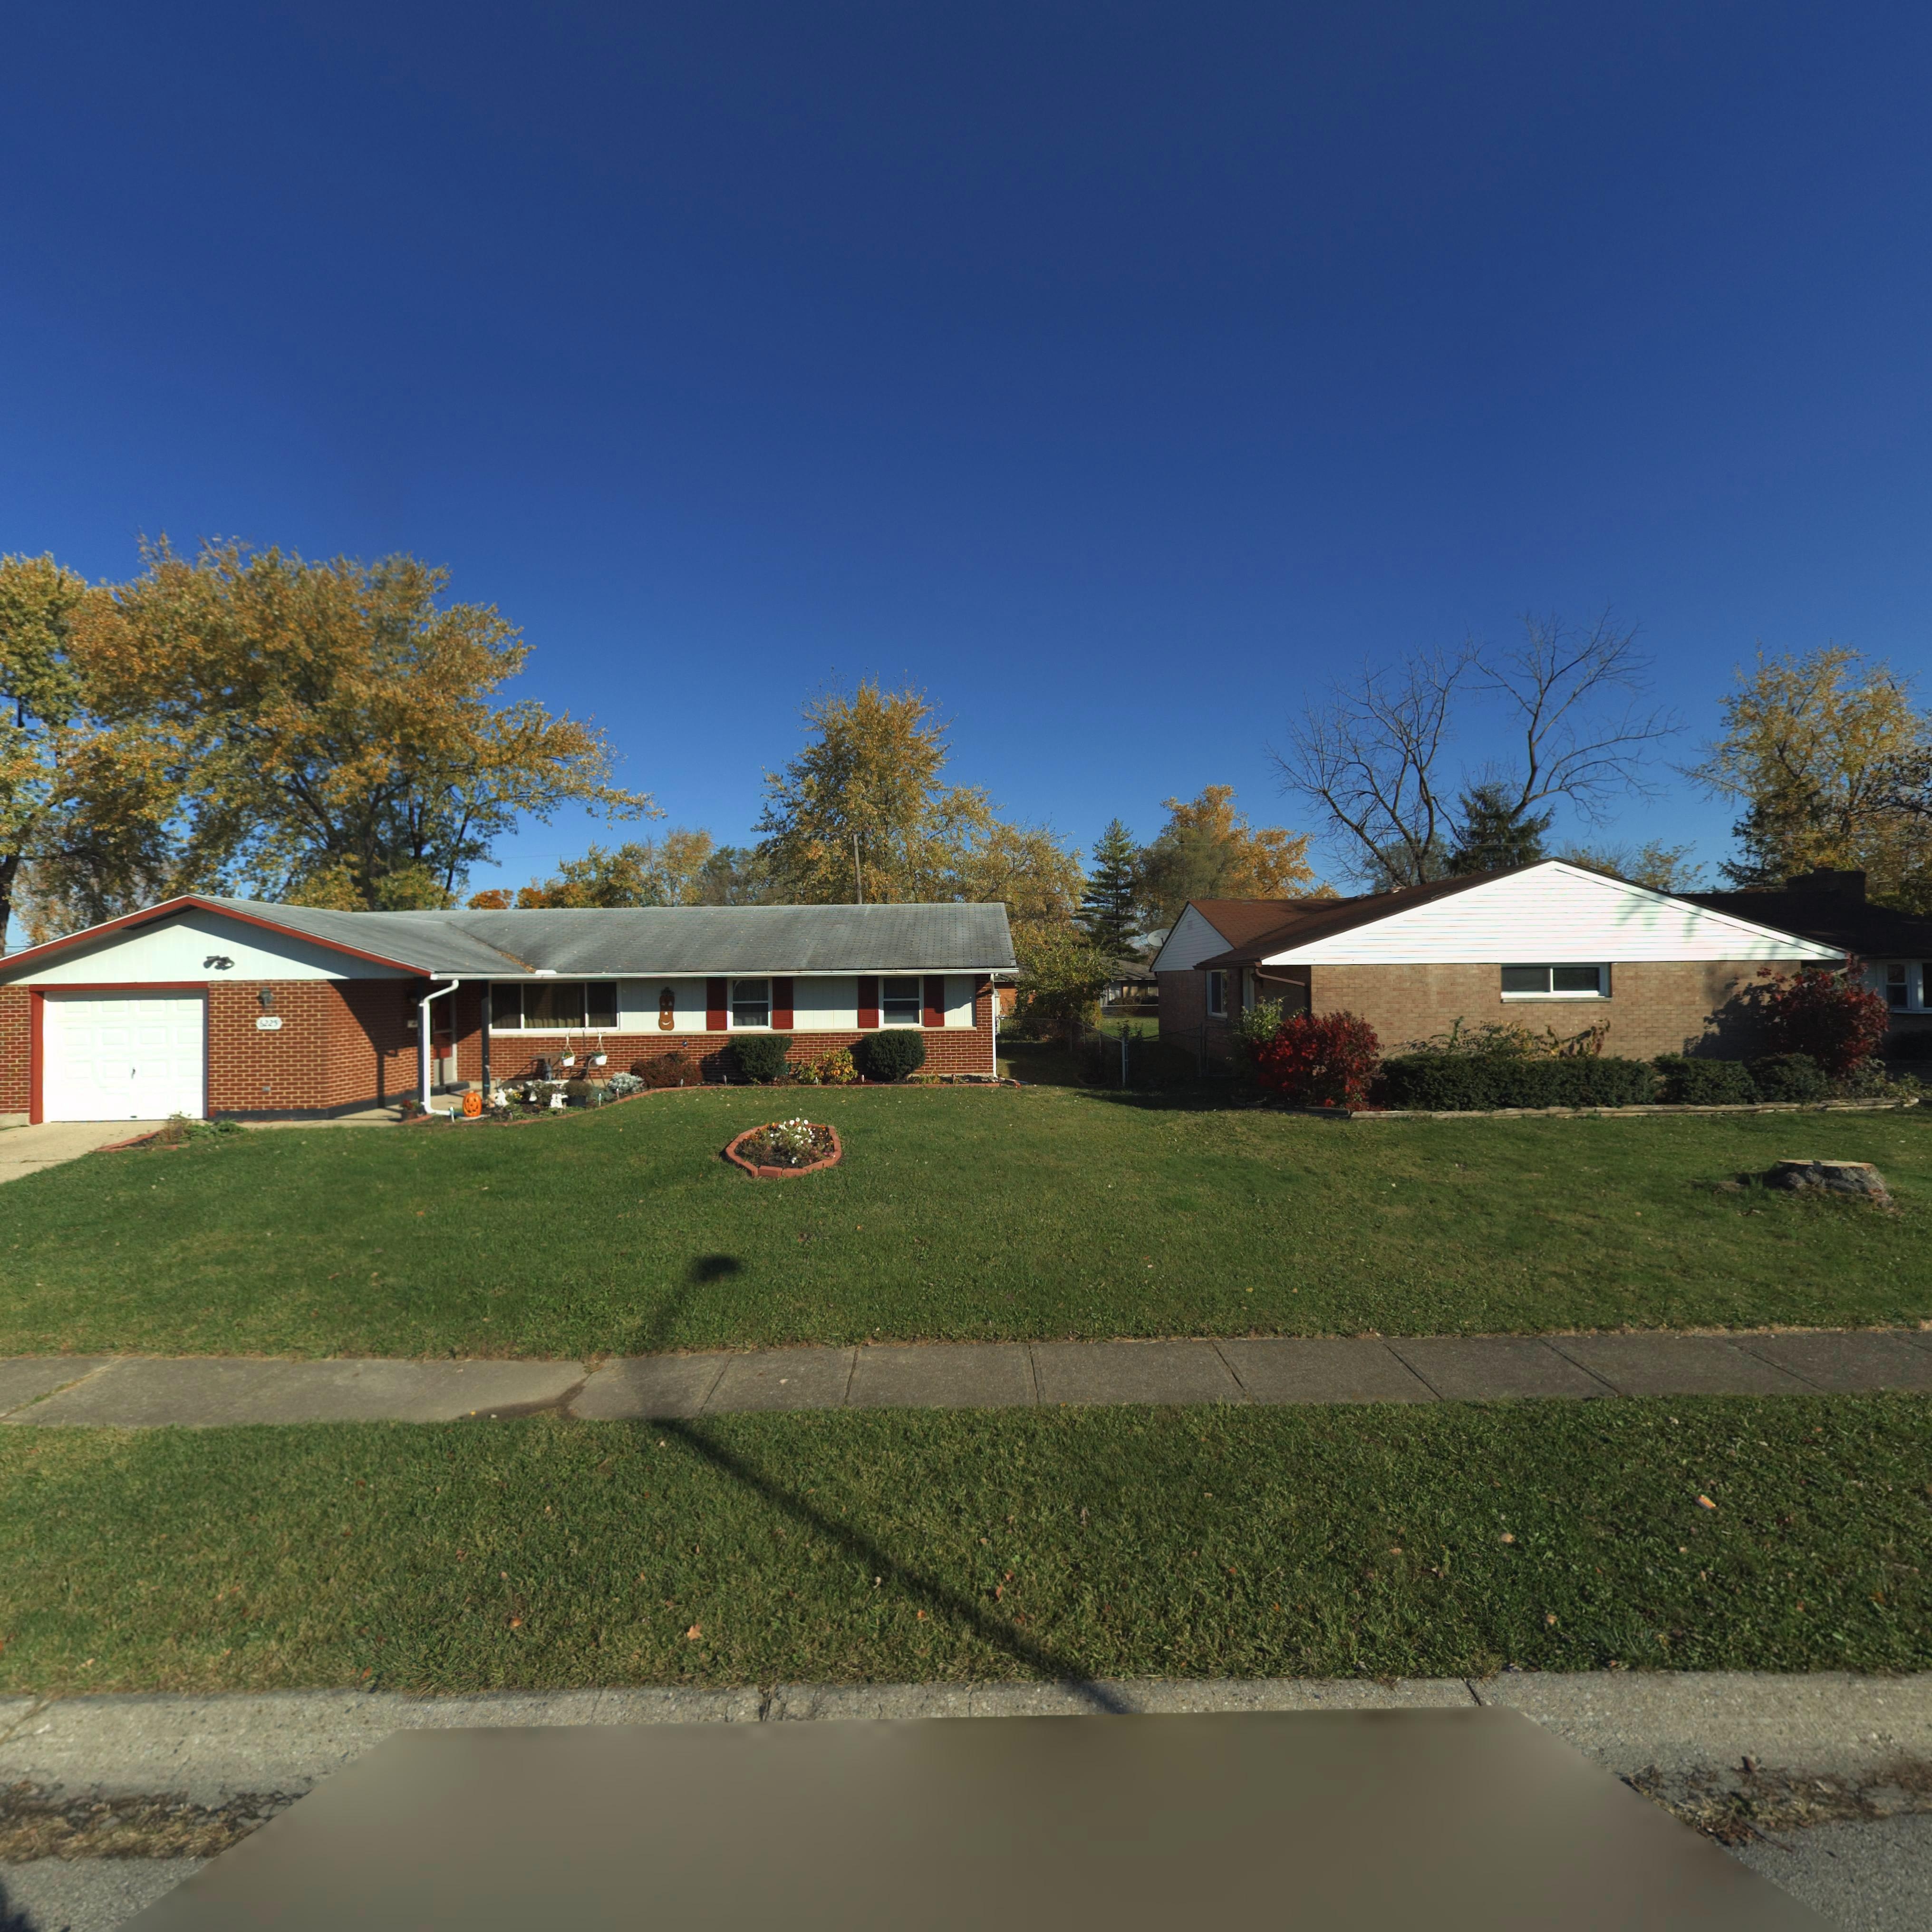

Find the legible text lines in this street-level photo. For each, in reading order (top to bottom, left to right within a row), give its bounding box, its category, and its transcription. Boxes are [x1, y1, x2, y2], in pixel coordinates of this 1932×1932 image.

[258, 1019, 278, 1027] StreetNumber: 6225